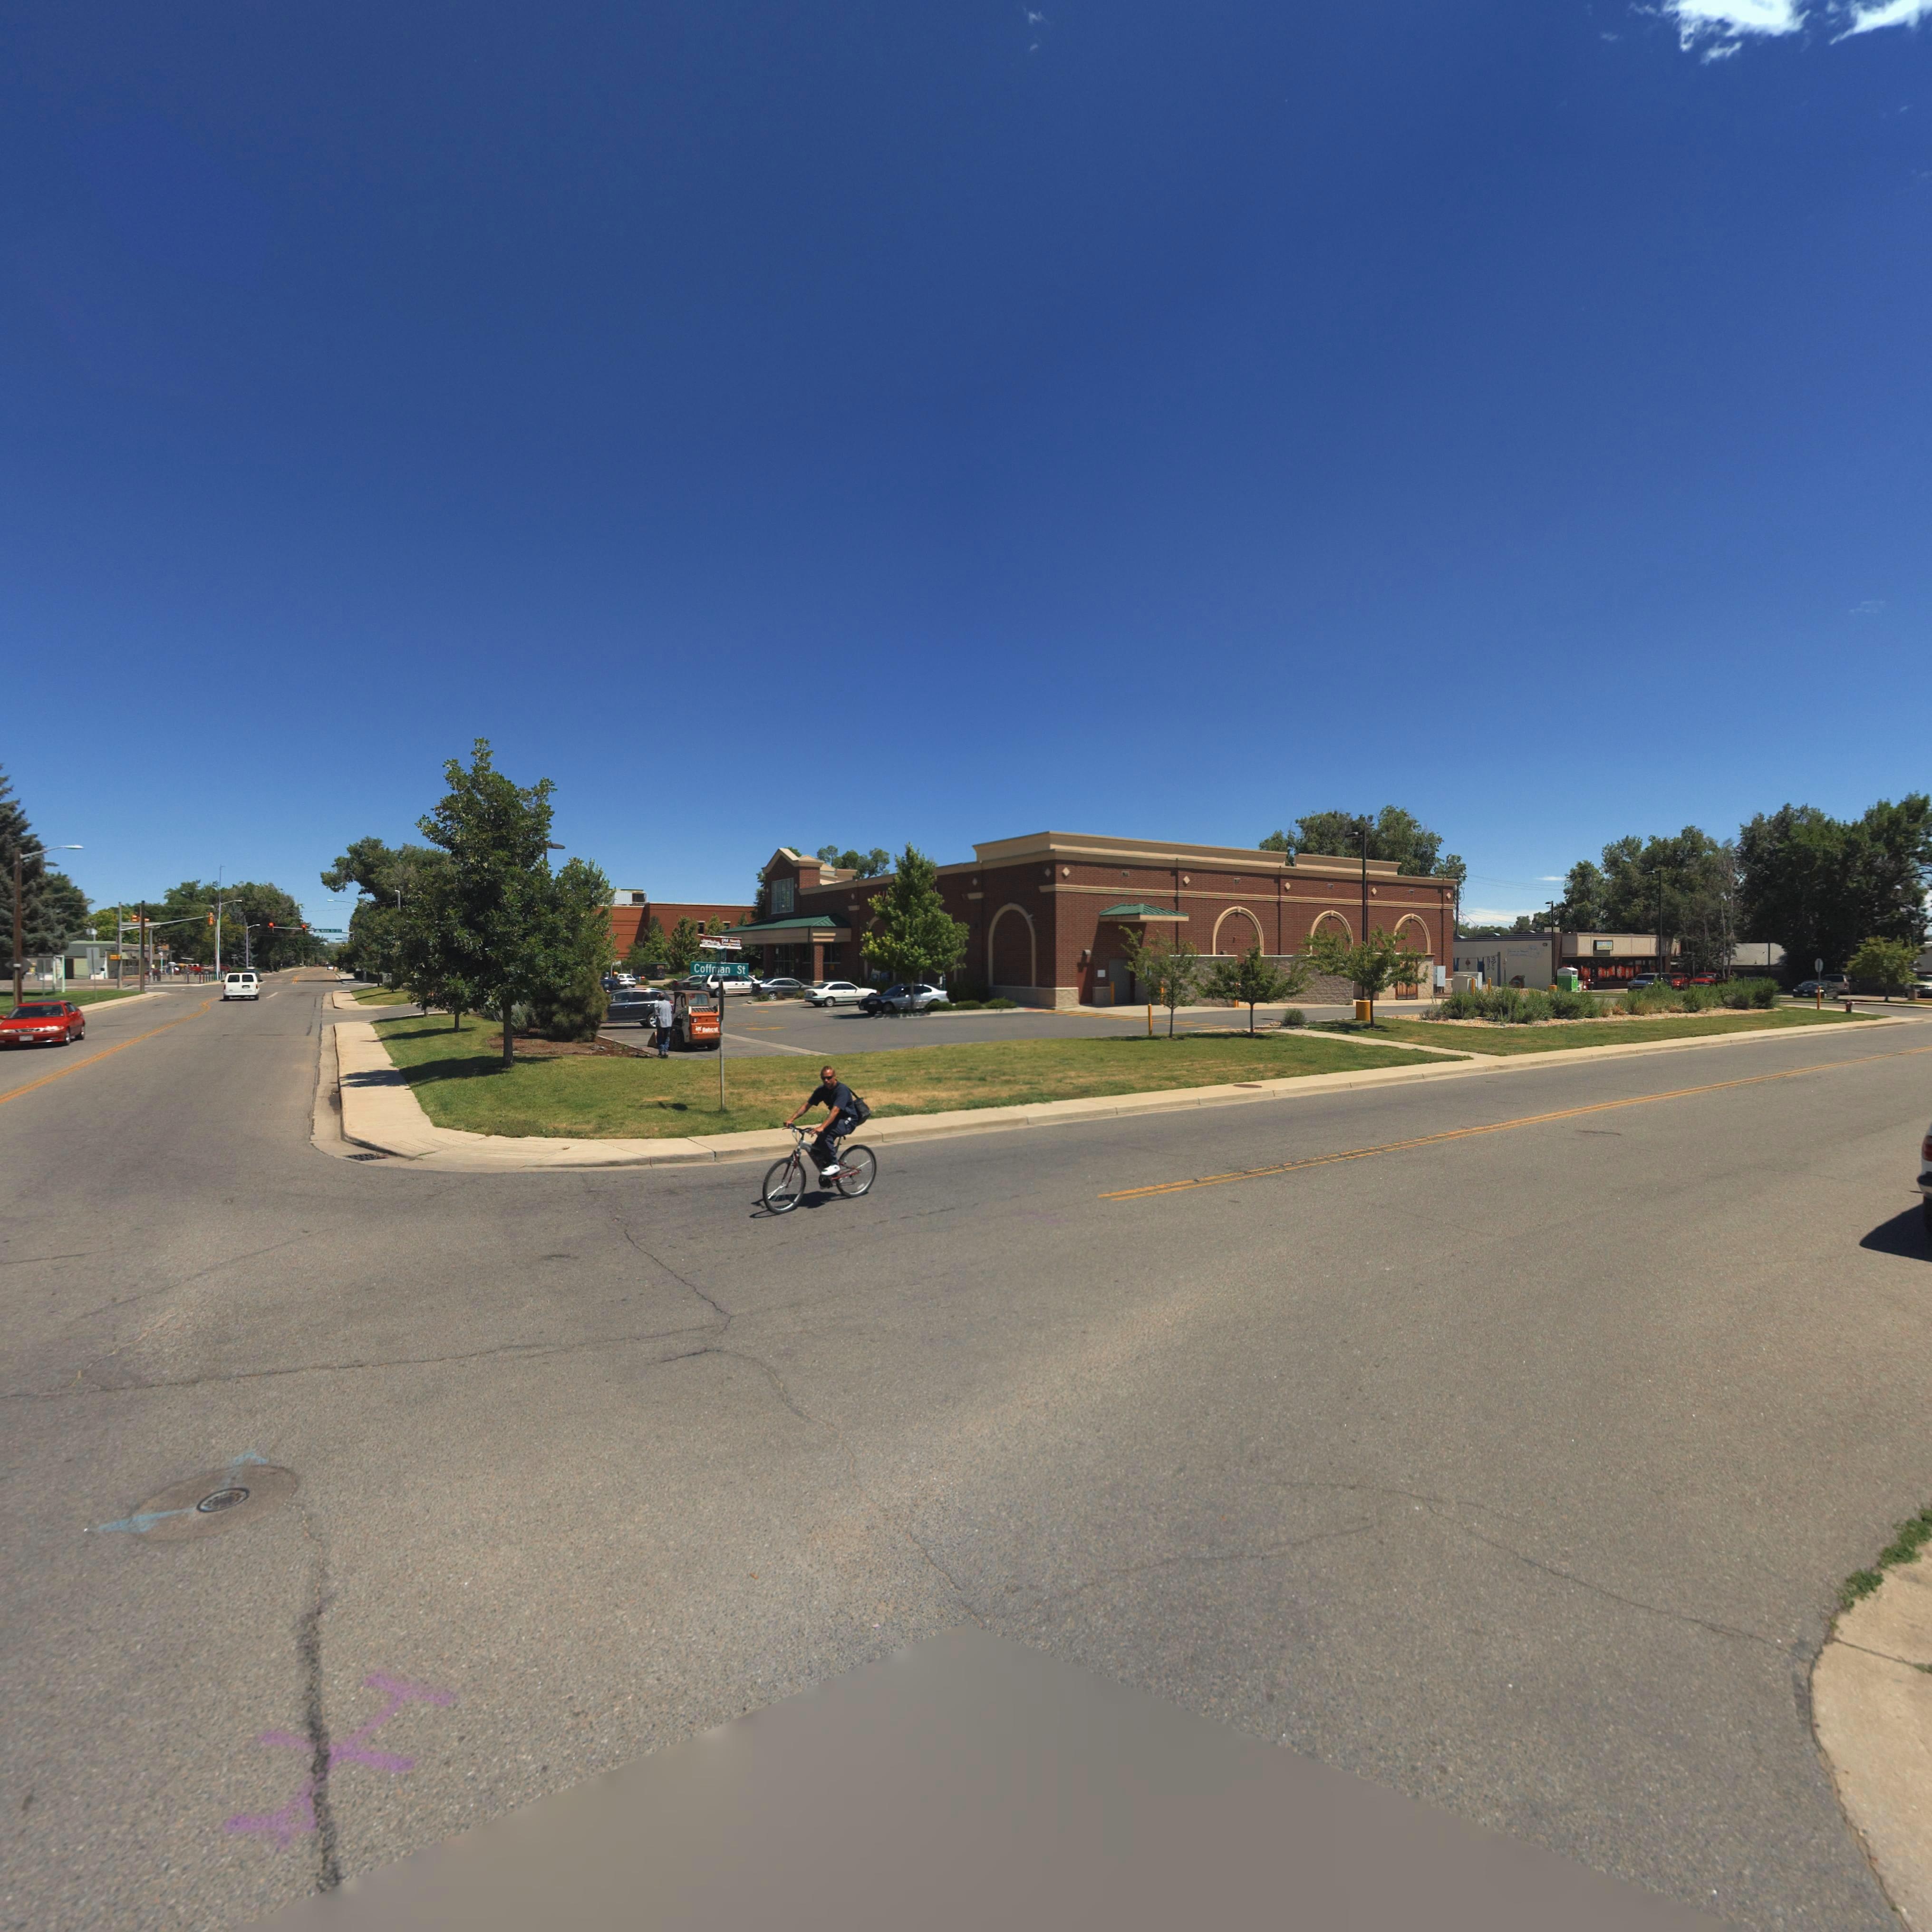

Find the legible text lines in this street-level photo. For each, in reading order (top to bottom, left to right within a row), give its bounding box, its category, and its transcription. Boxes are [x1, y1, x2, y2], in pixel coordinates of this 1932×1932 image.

[694, 963, 746, 975] StreetName: Coffman St